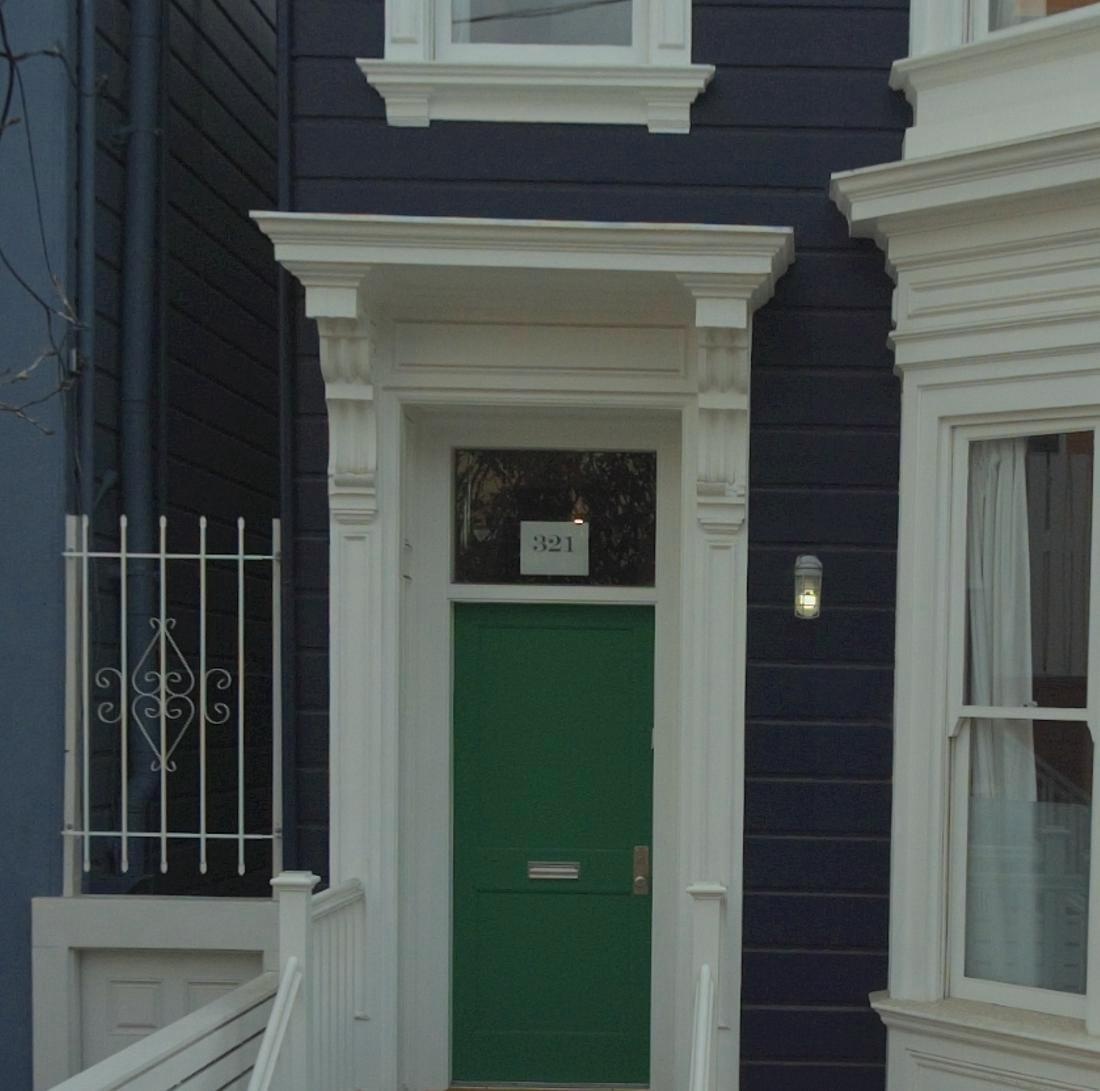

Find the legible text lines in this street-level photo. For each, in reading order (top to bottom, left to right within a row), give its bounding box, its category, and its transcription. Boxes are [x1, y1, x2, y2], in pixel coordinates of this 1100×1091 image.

[531, 533, 575, 554] StreetNumber: 321